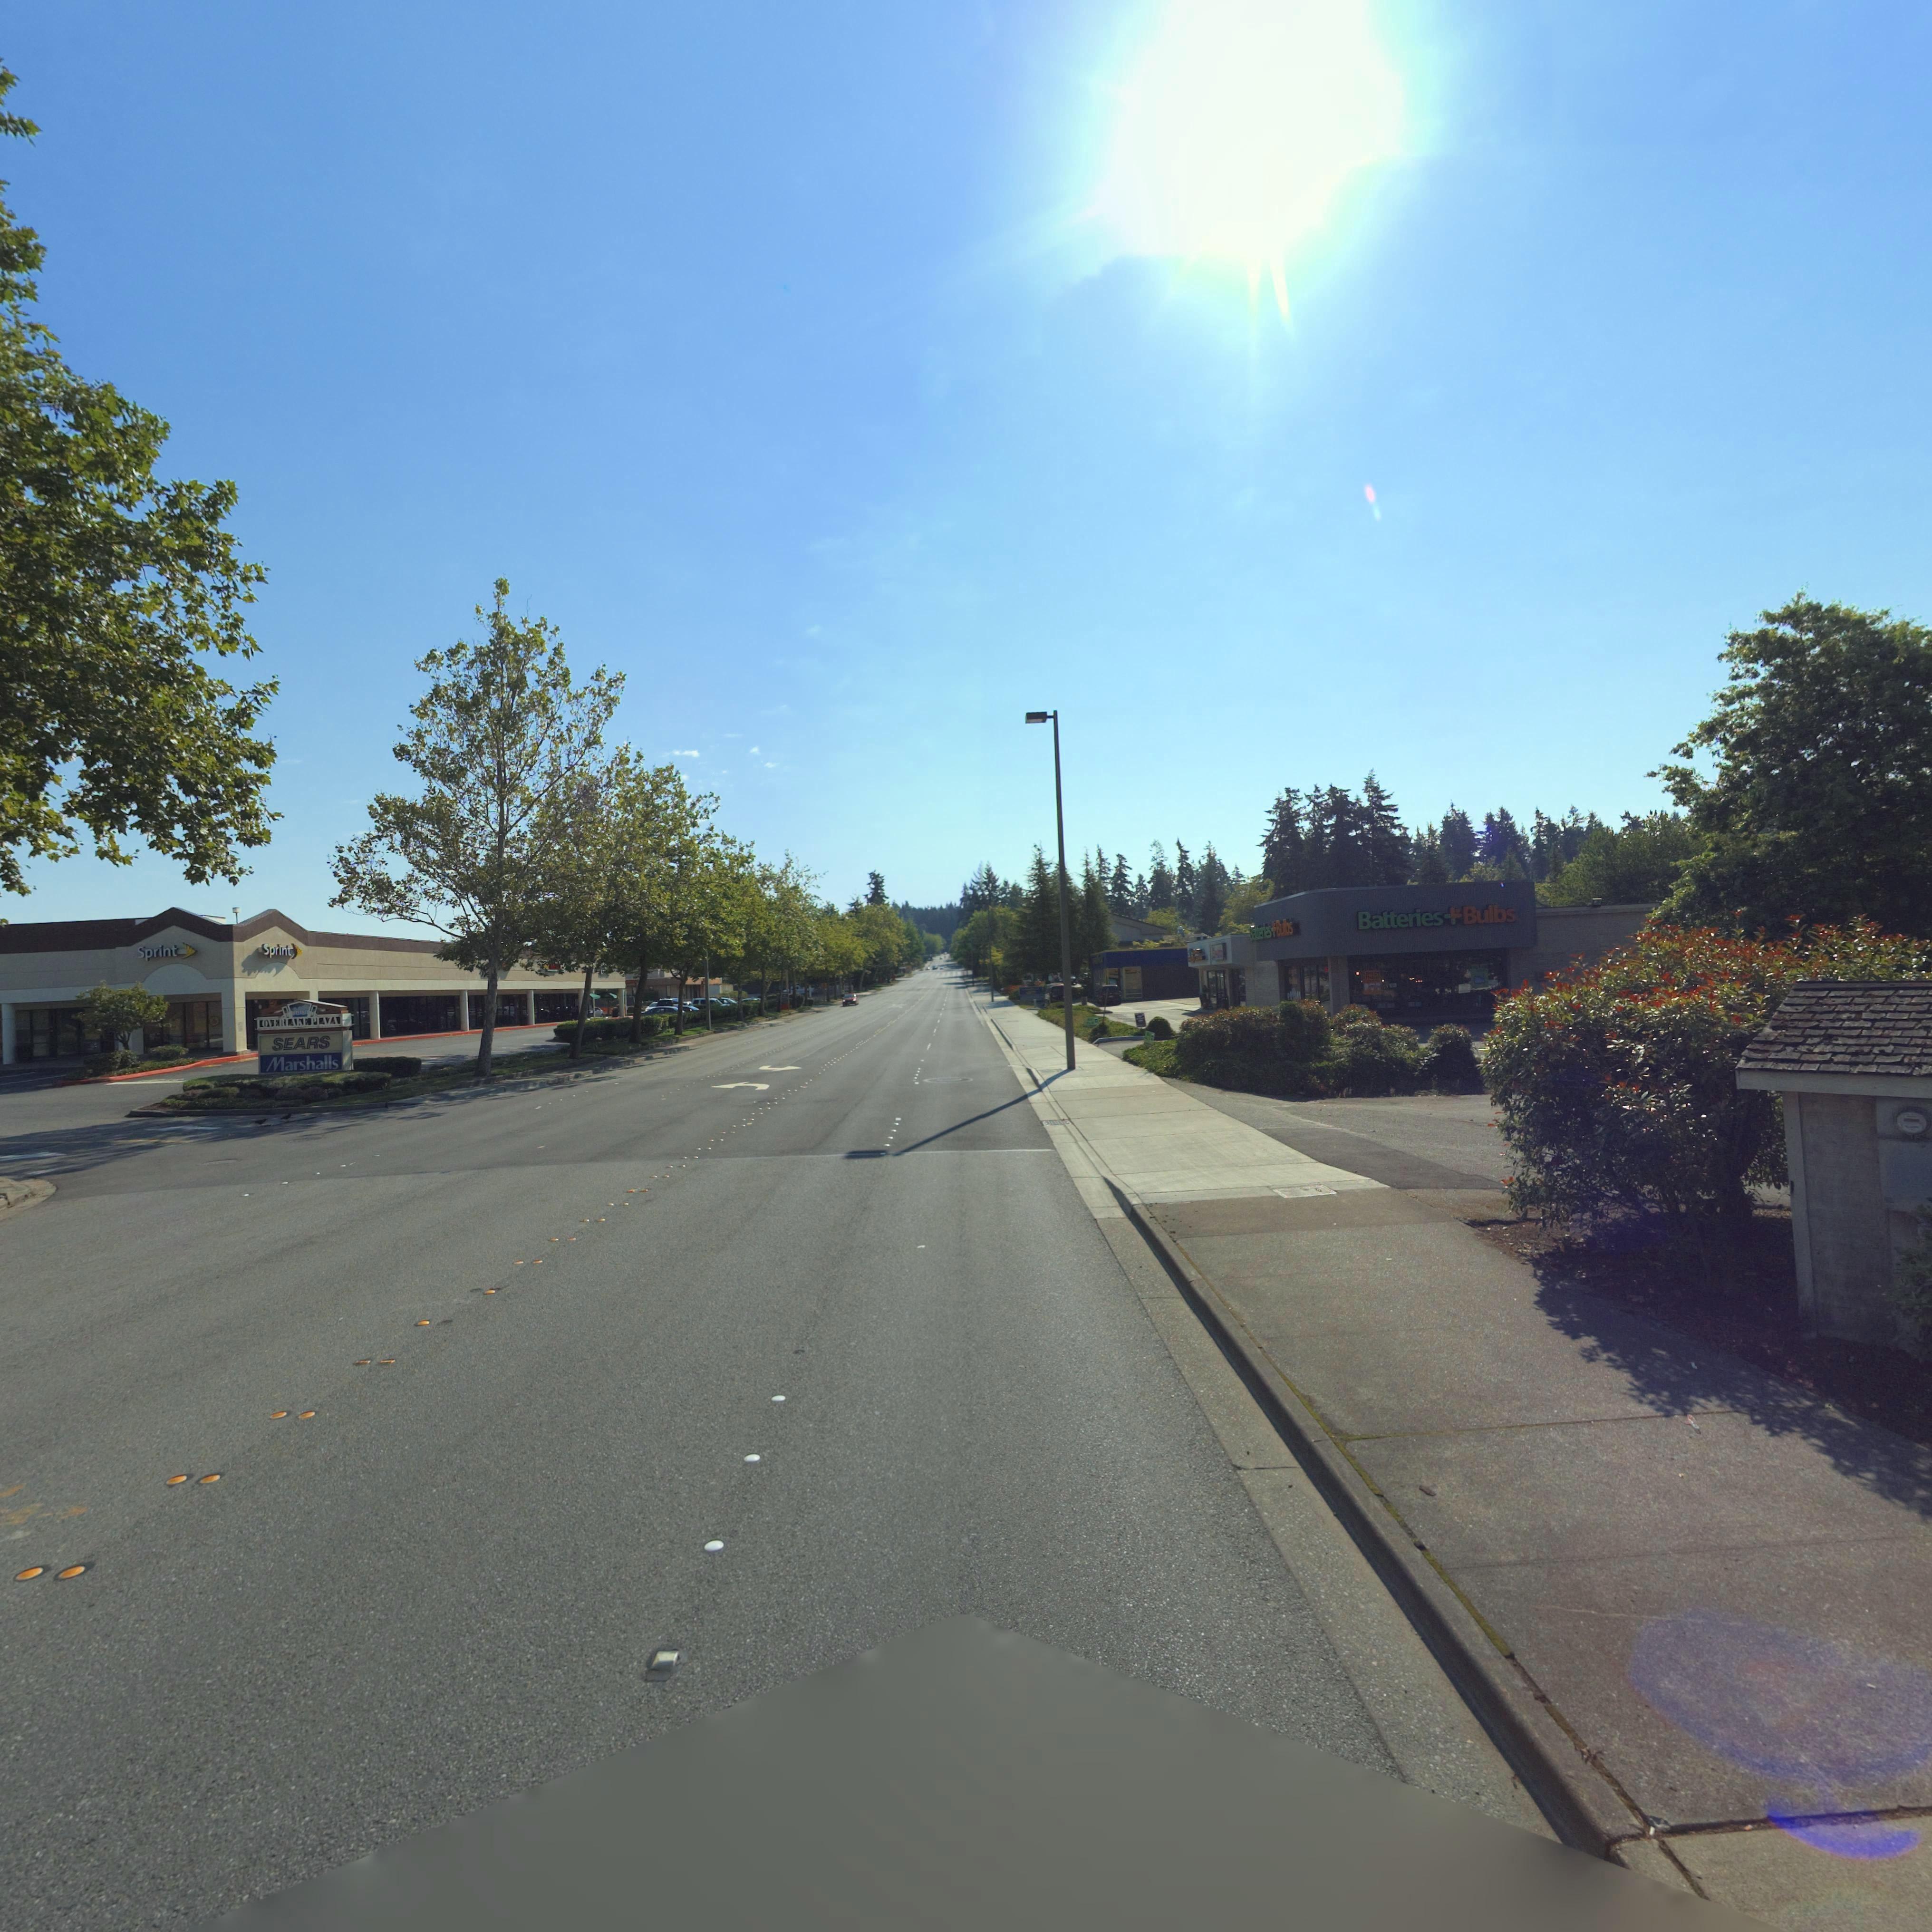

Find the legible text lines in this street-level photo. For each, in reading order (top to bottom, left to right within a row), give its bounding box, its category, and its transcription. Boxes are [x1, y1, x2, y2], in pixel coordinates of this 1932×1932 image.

[1358, 901, 1516, 929] BusinessName: Battenes+Bulbs
[1248, 918, 1294, 941] BusinessName: Batteries*Bulbs
[136, 944, 177, 962] BusinessName: Sprint
[263, 943, 291, 958] BusinessName: Sprint
[271, 1035, 331, 1051] BusinessName: SEARS
[264, 1054, 339, 1072] BusinessName: Marshalls